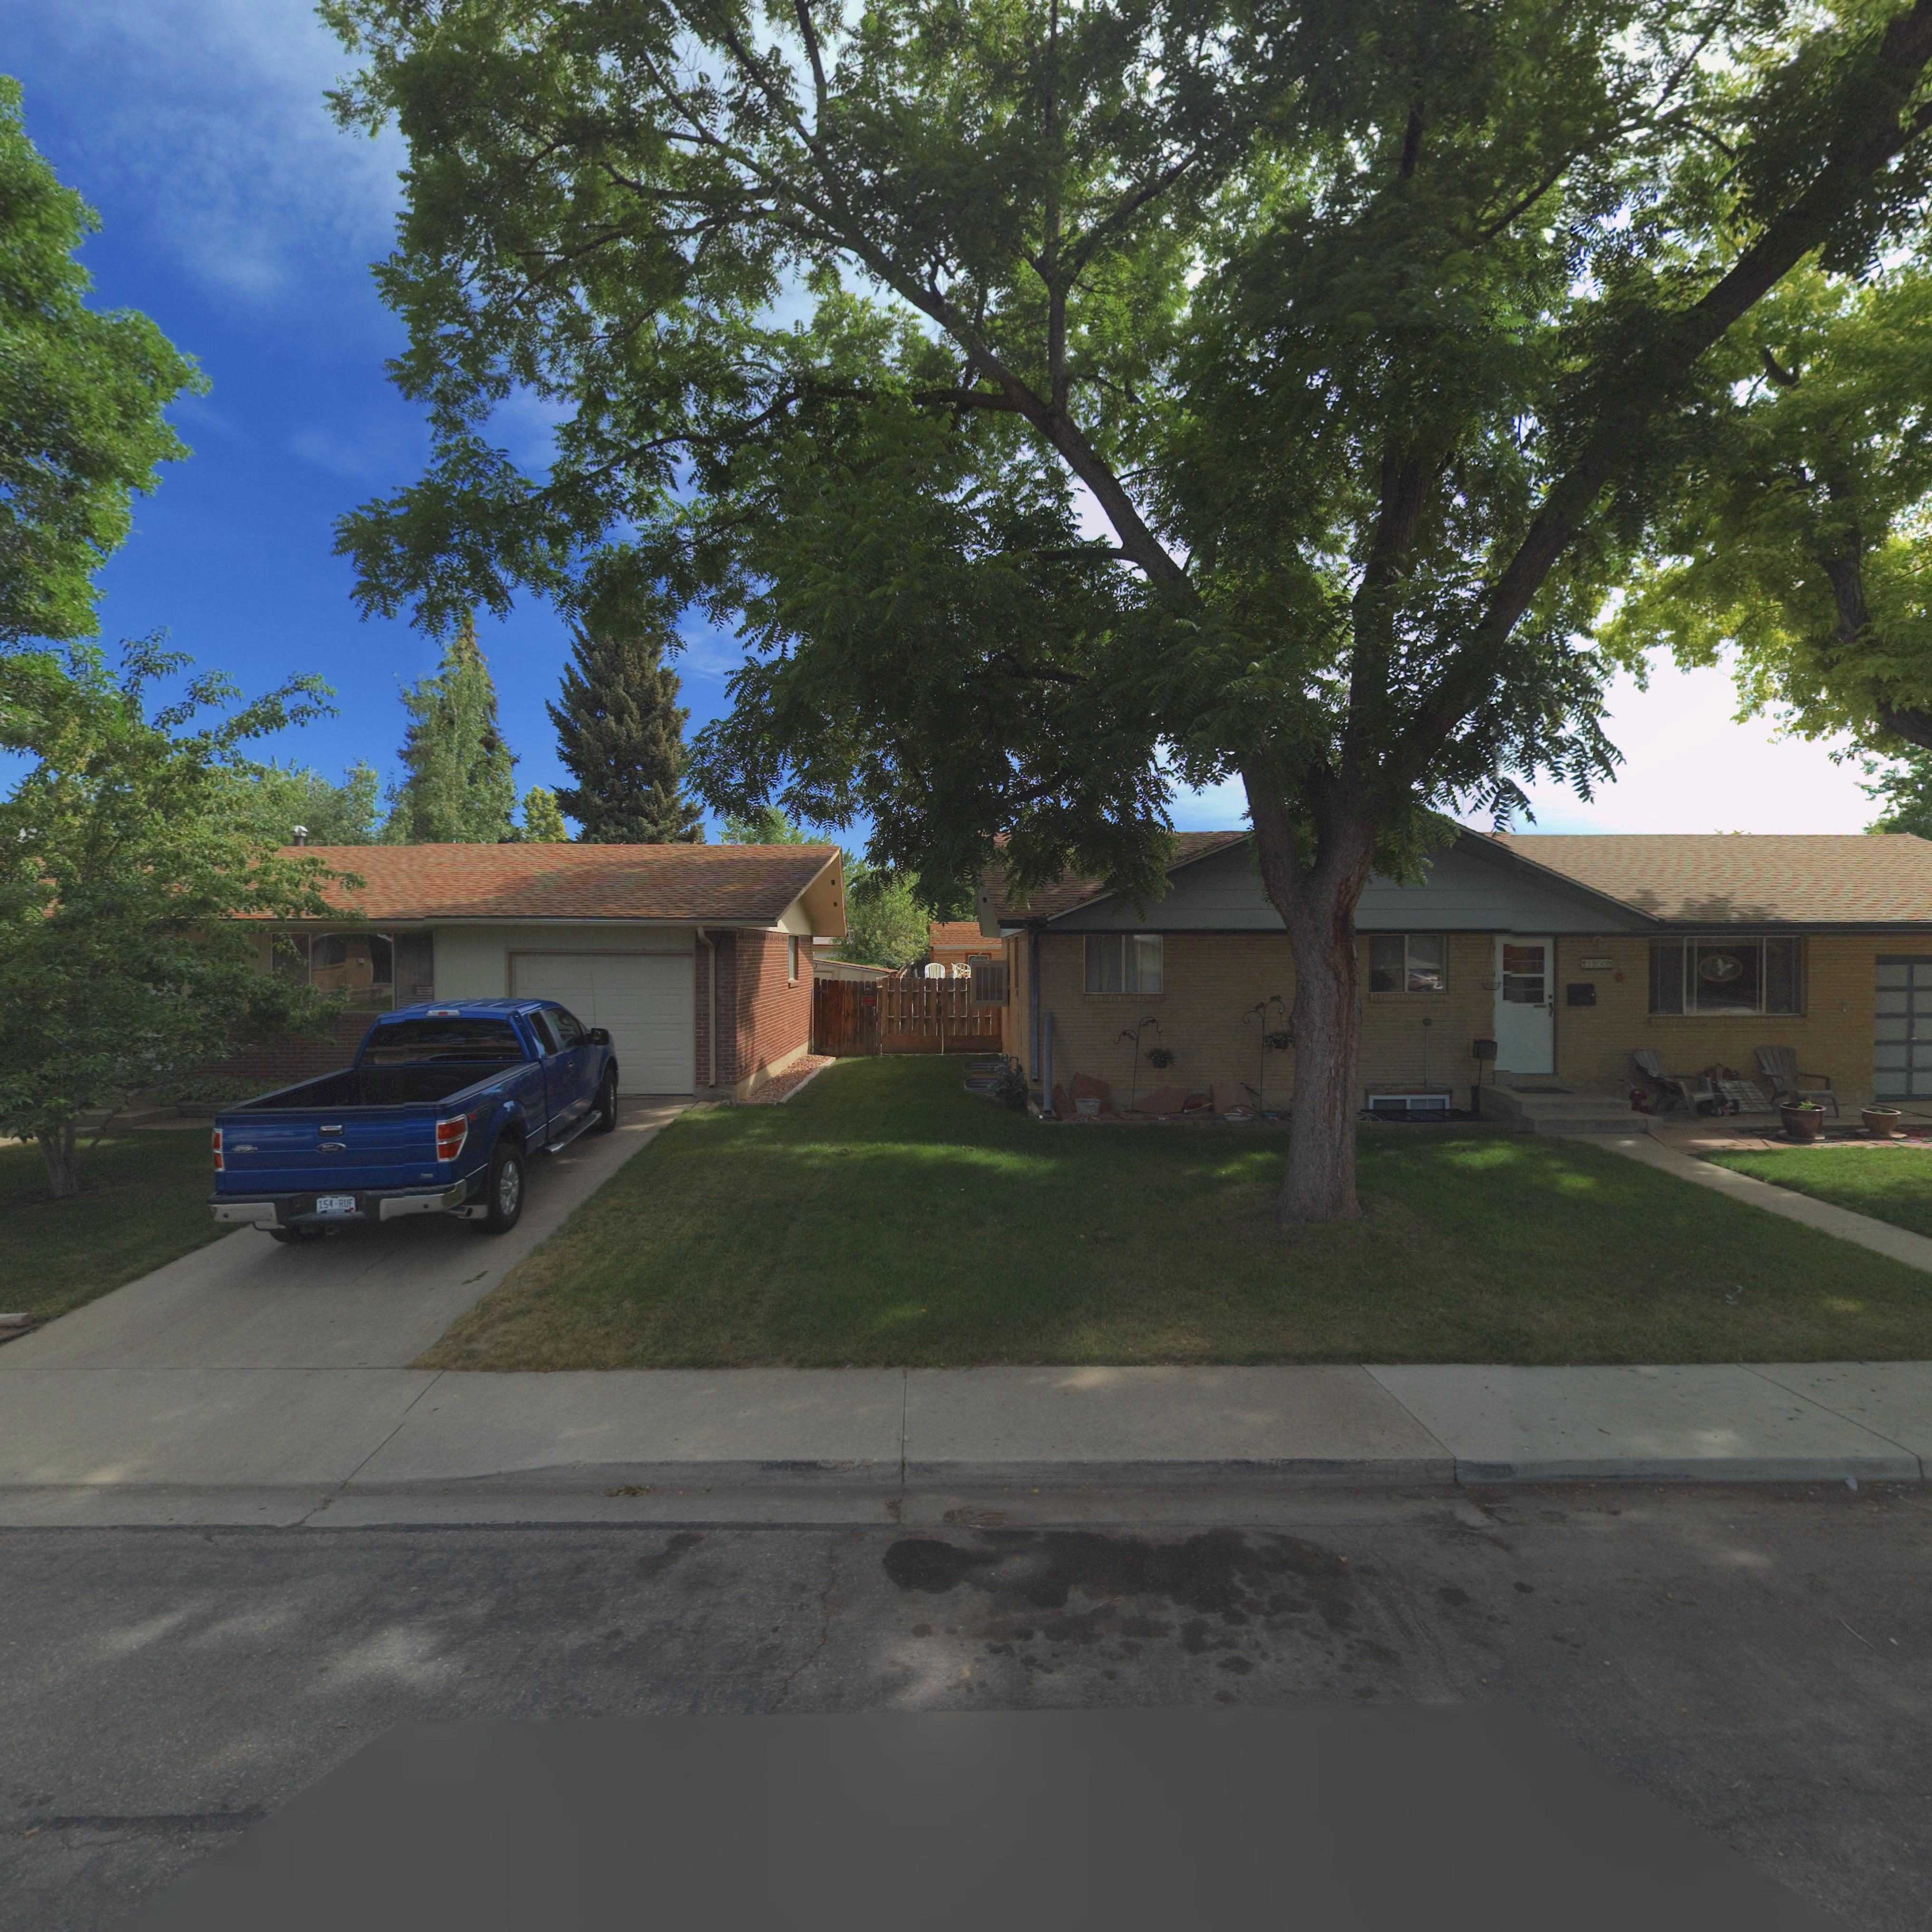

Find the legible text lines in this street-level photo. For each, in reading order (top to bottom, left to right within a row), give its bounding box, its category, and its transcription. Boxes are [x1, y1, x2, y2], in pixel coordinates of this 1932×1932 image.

[1587, 959, 1607, 966] StreetNumber: 1850